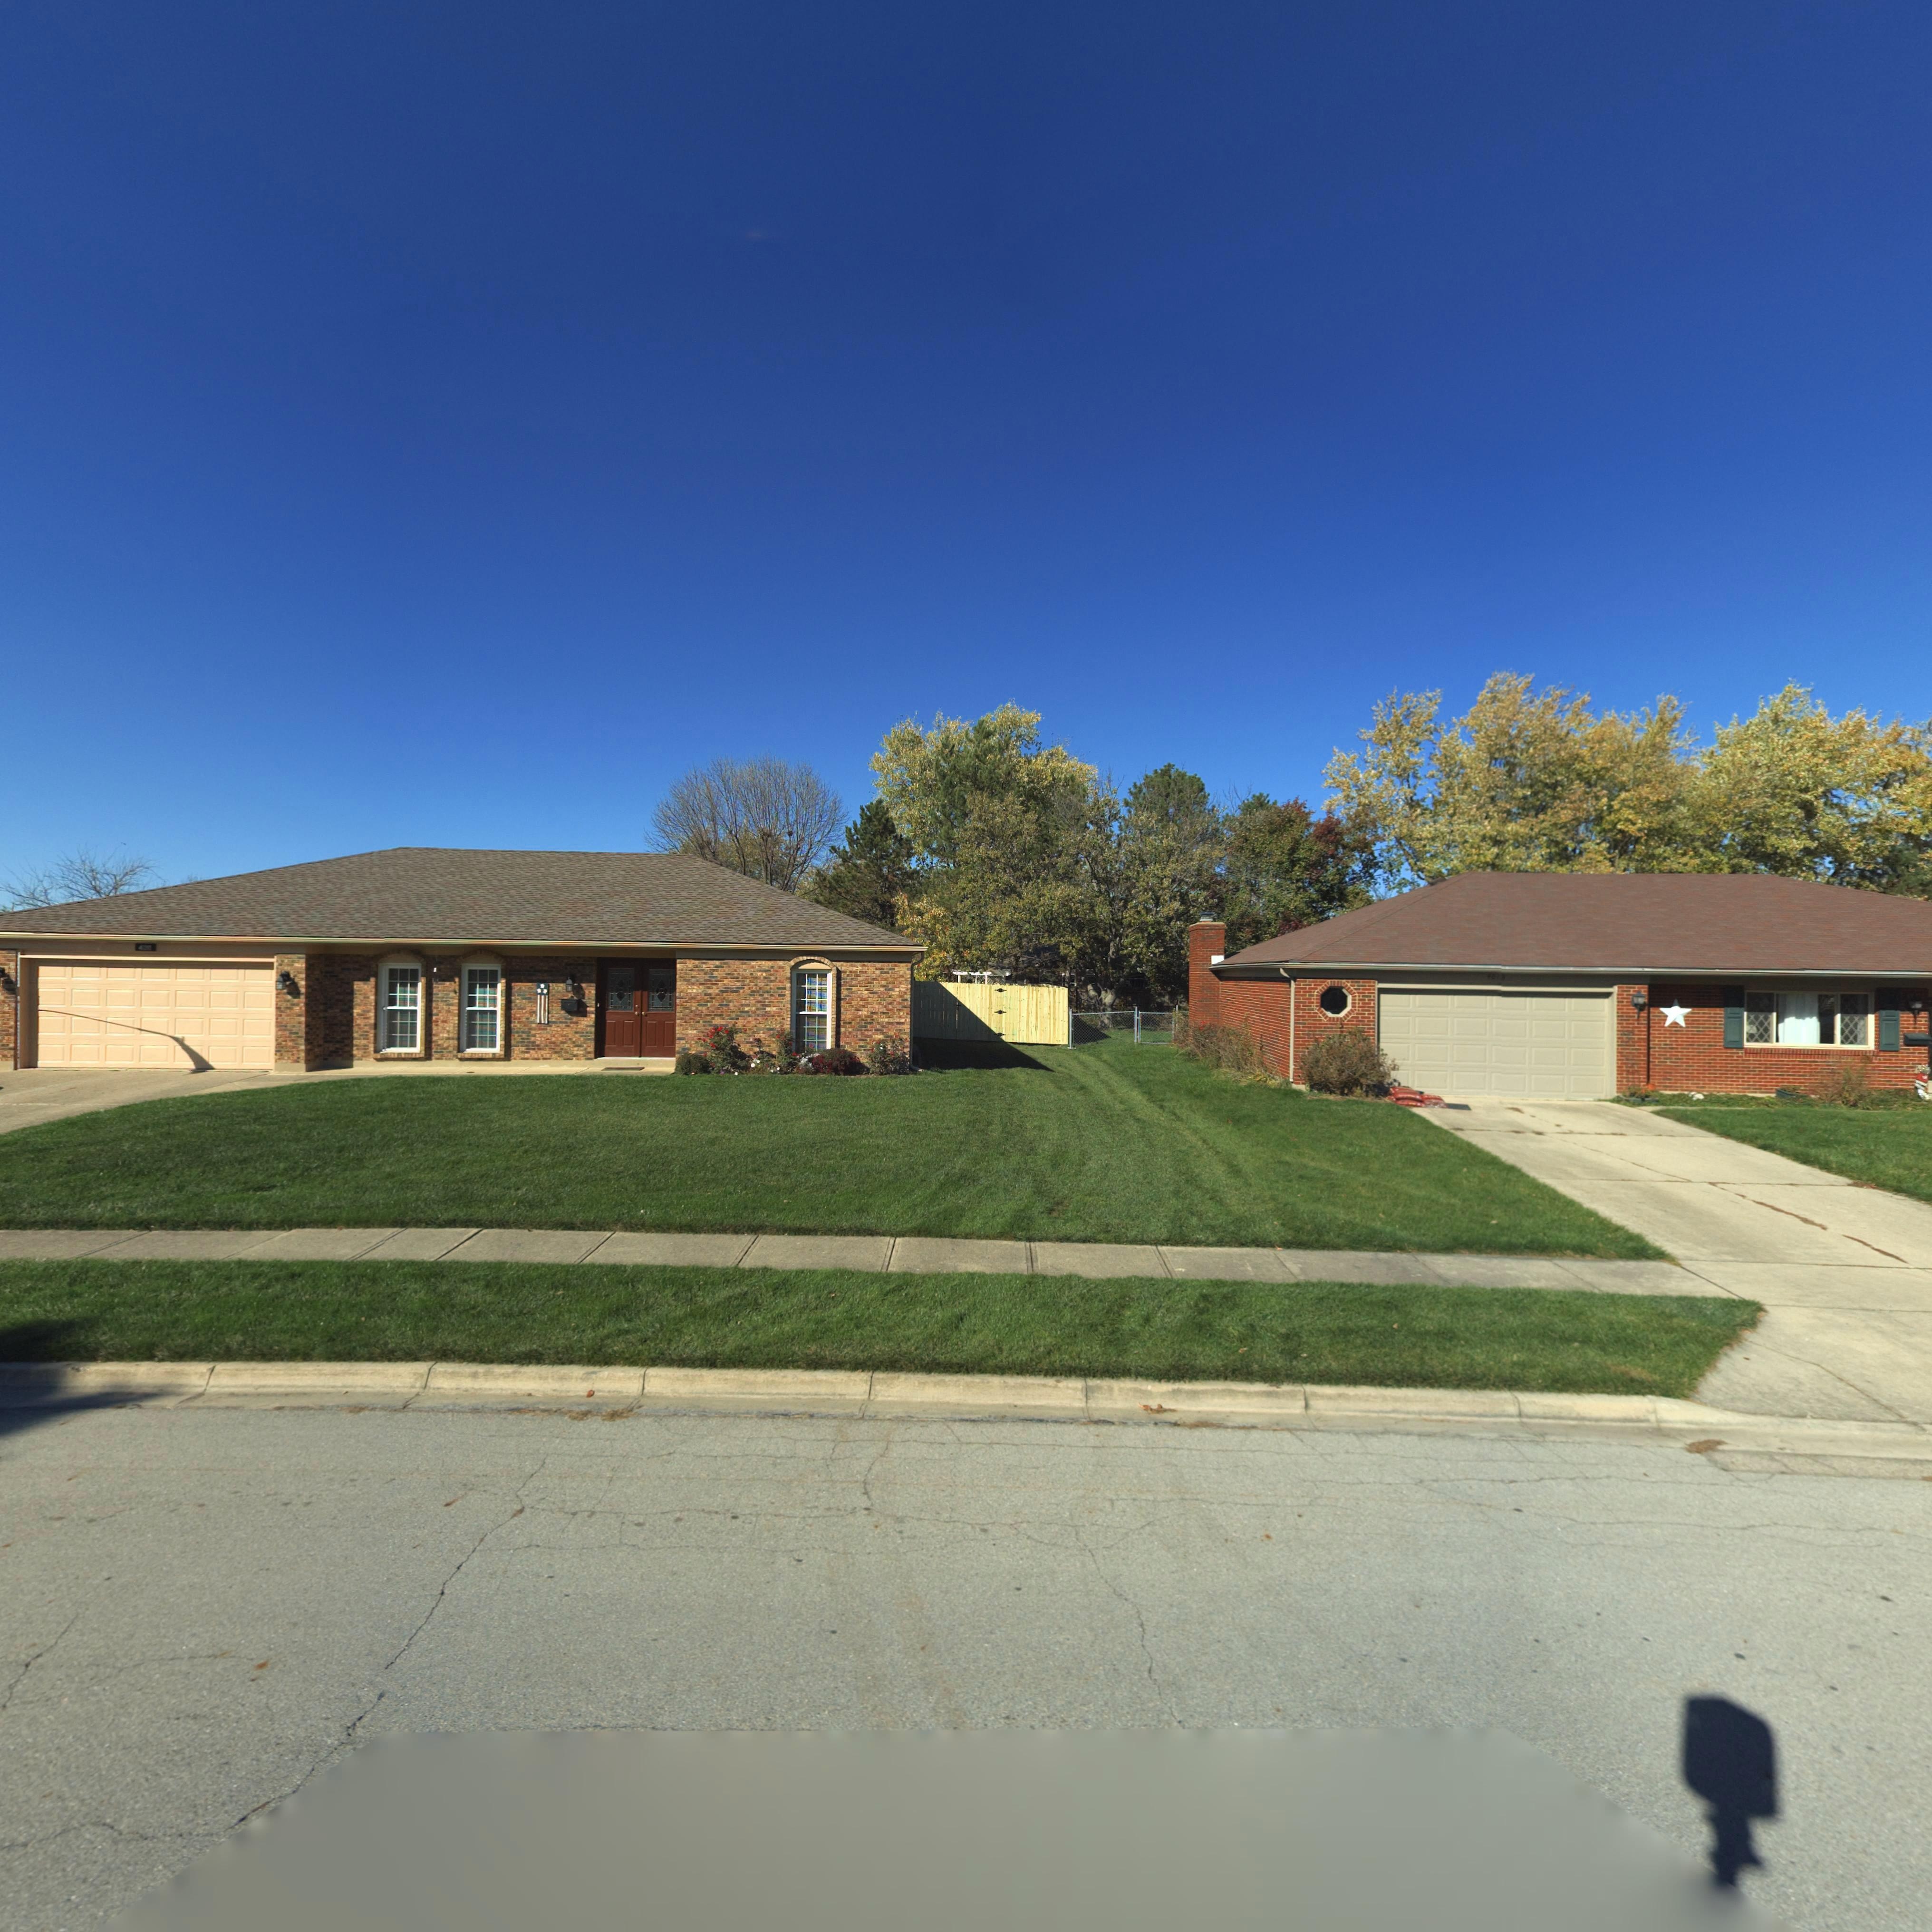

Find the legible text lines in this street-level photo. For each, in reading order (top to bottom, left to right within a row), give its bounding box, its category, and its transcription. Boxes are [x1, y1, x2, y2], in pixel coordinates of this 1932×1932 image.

[138, 944, 152, 951] StreetNumber: 4011
[1487, 972, 1506, 980] StreetNumber: 4-1*